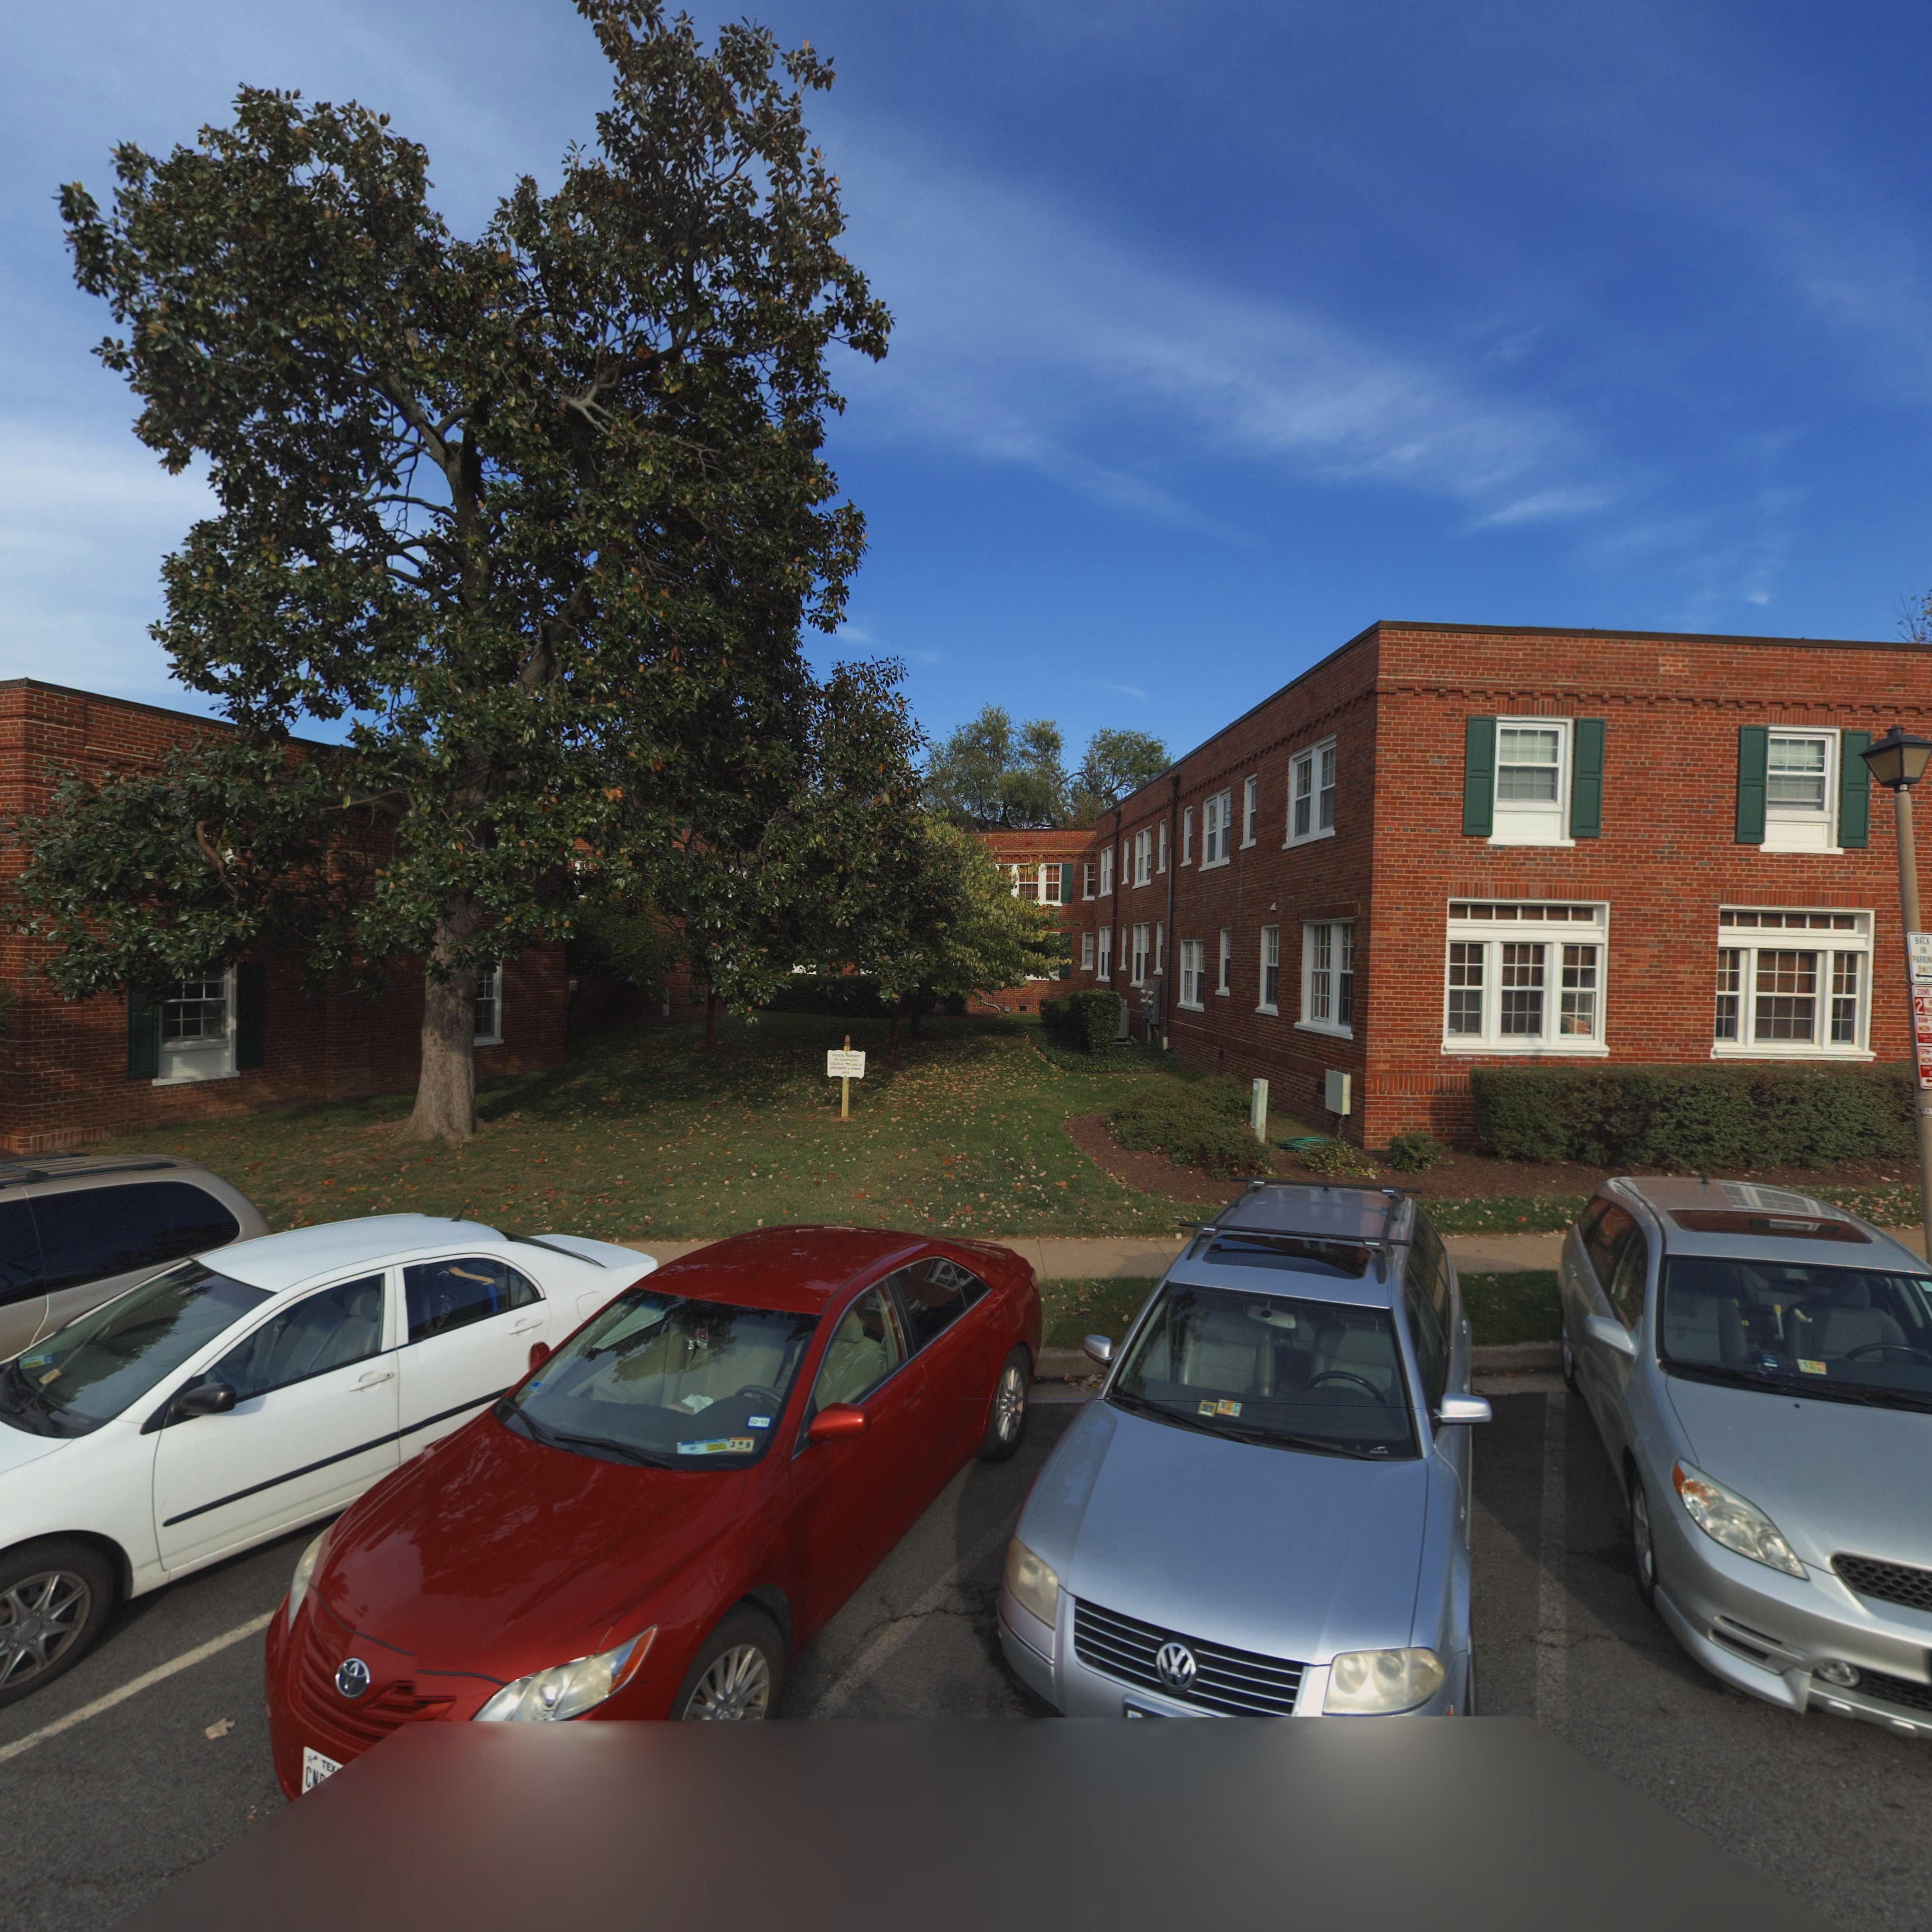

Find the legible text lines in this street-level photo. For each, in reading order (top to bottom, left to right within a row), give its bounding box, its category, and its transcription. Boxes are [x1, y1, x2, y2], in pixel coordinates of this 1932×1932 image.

[1803, 1361, 1808, 1368] None: 1
[730, 1441, 736, 1448] None: 3
[744, 1441, 752, 1449] None: 5